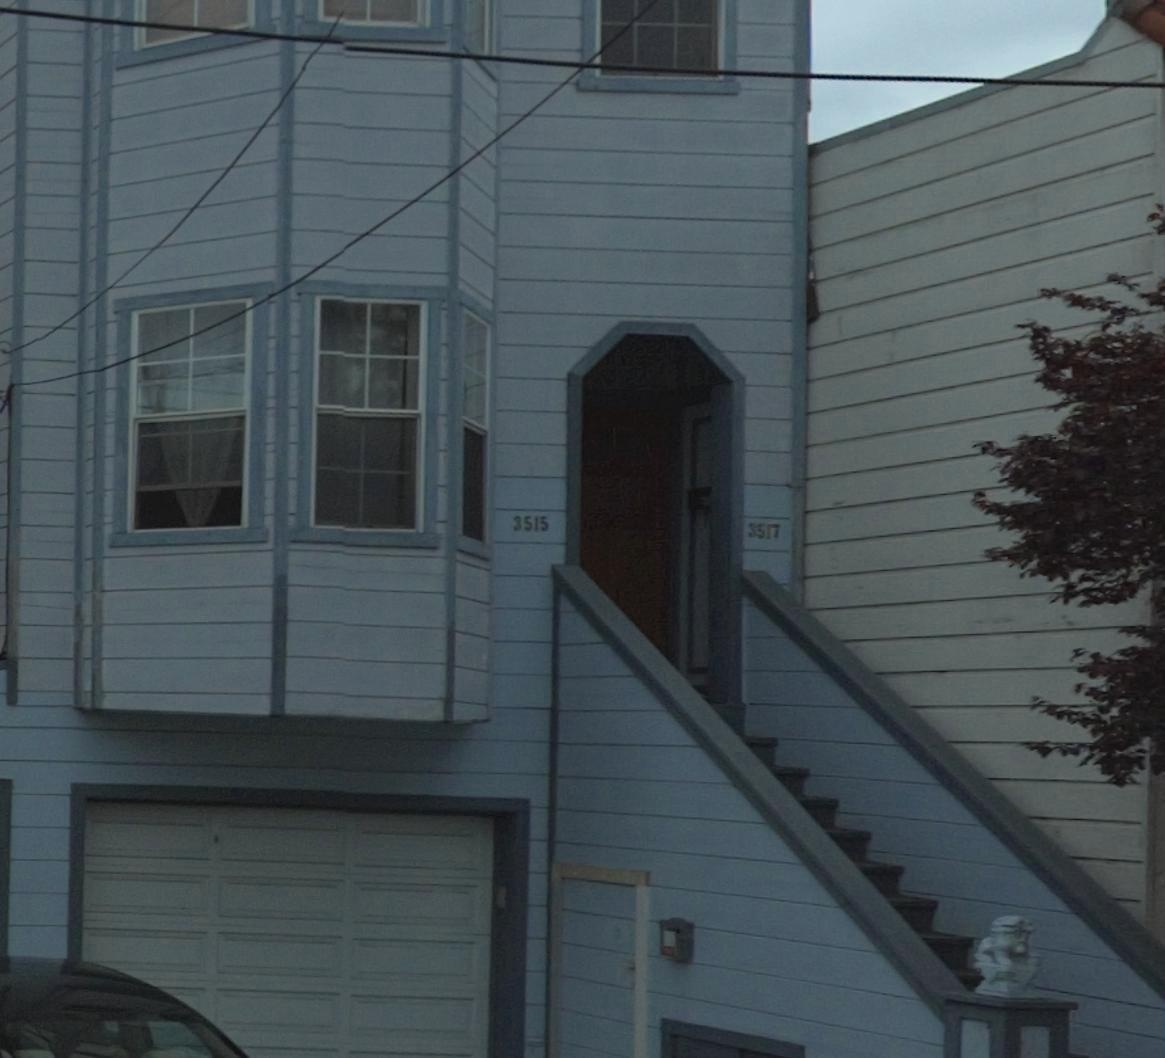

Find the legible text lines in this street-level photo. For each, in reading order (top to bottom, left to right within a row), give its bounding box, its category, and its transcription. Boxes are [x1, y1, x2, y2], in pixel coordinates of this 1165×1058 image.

[512, 514, 550, 533] StreetNumber: 3515
[747, 522, 781, 540] StreetNumber: 3517